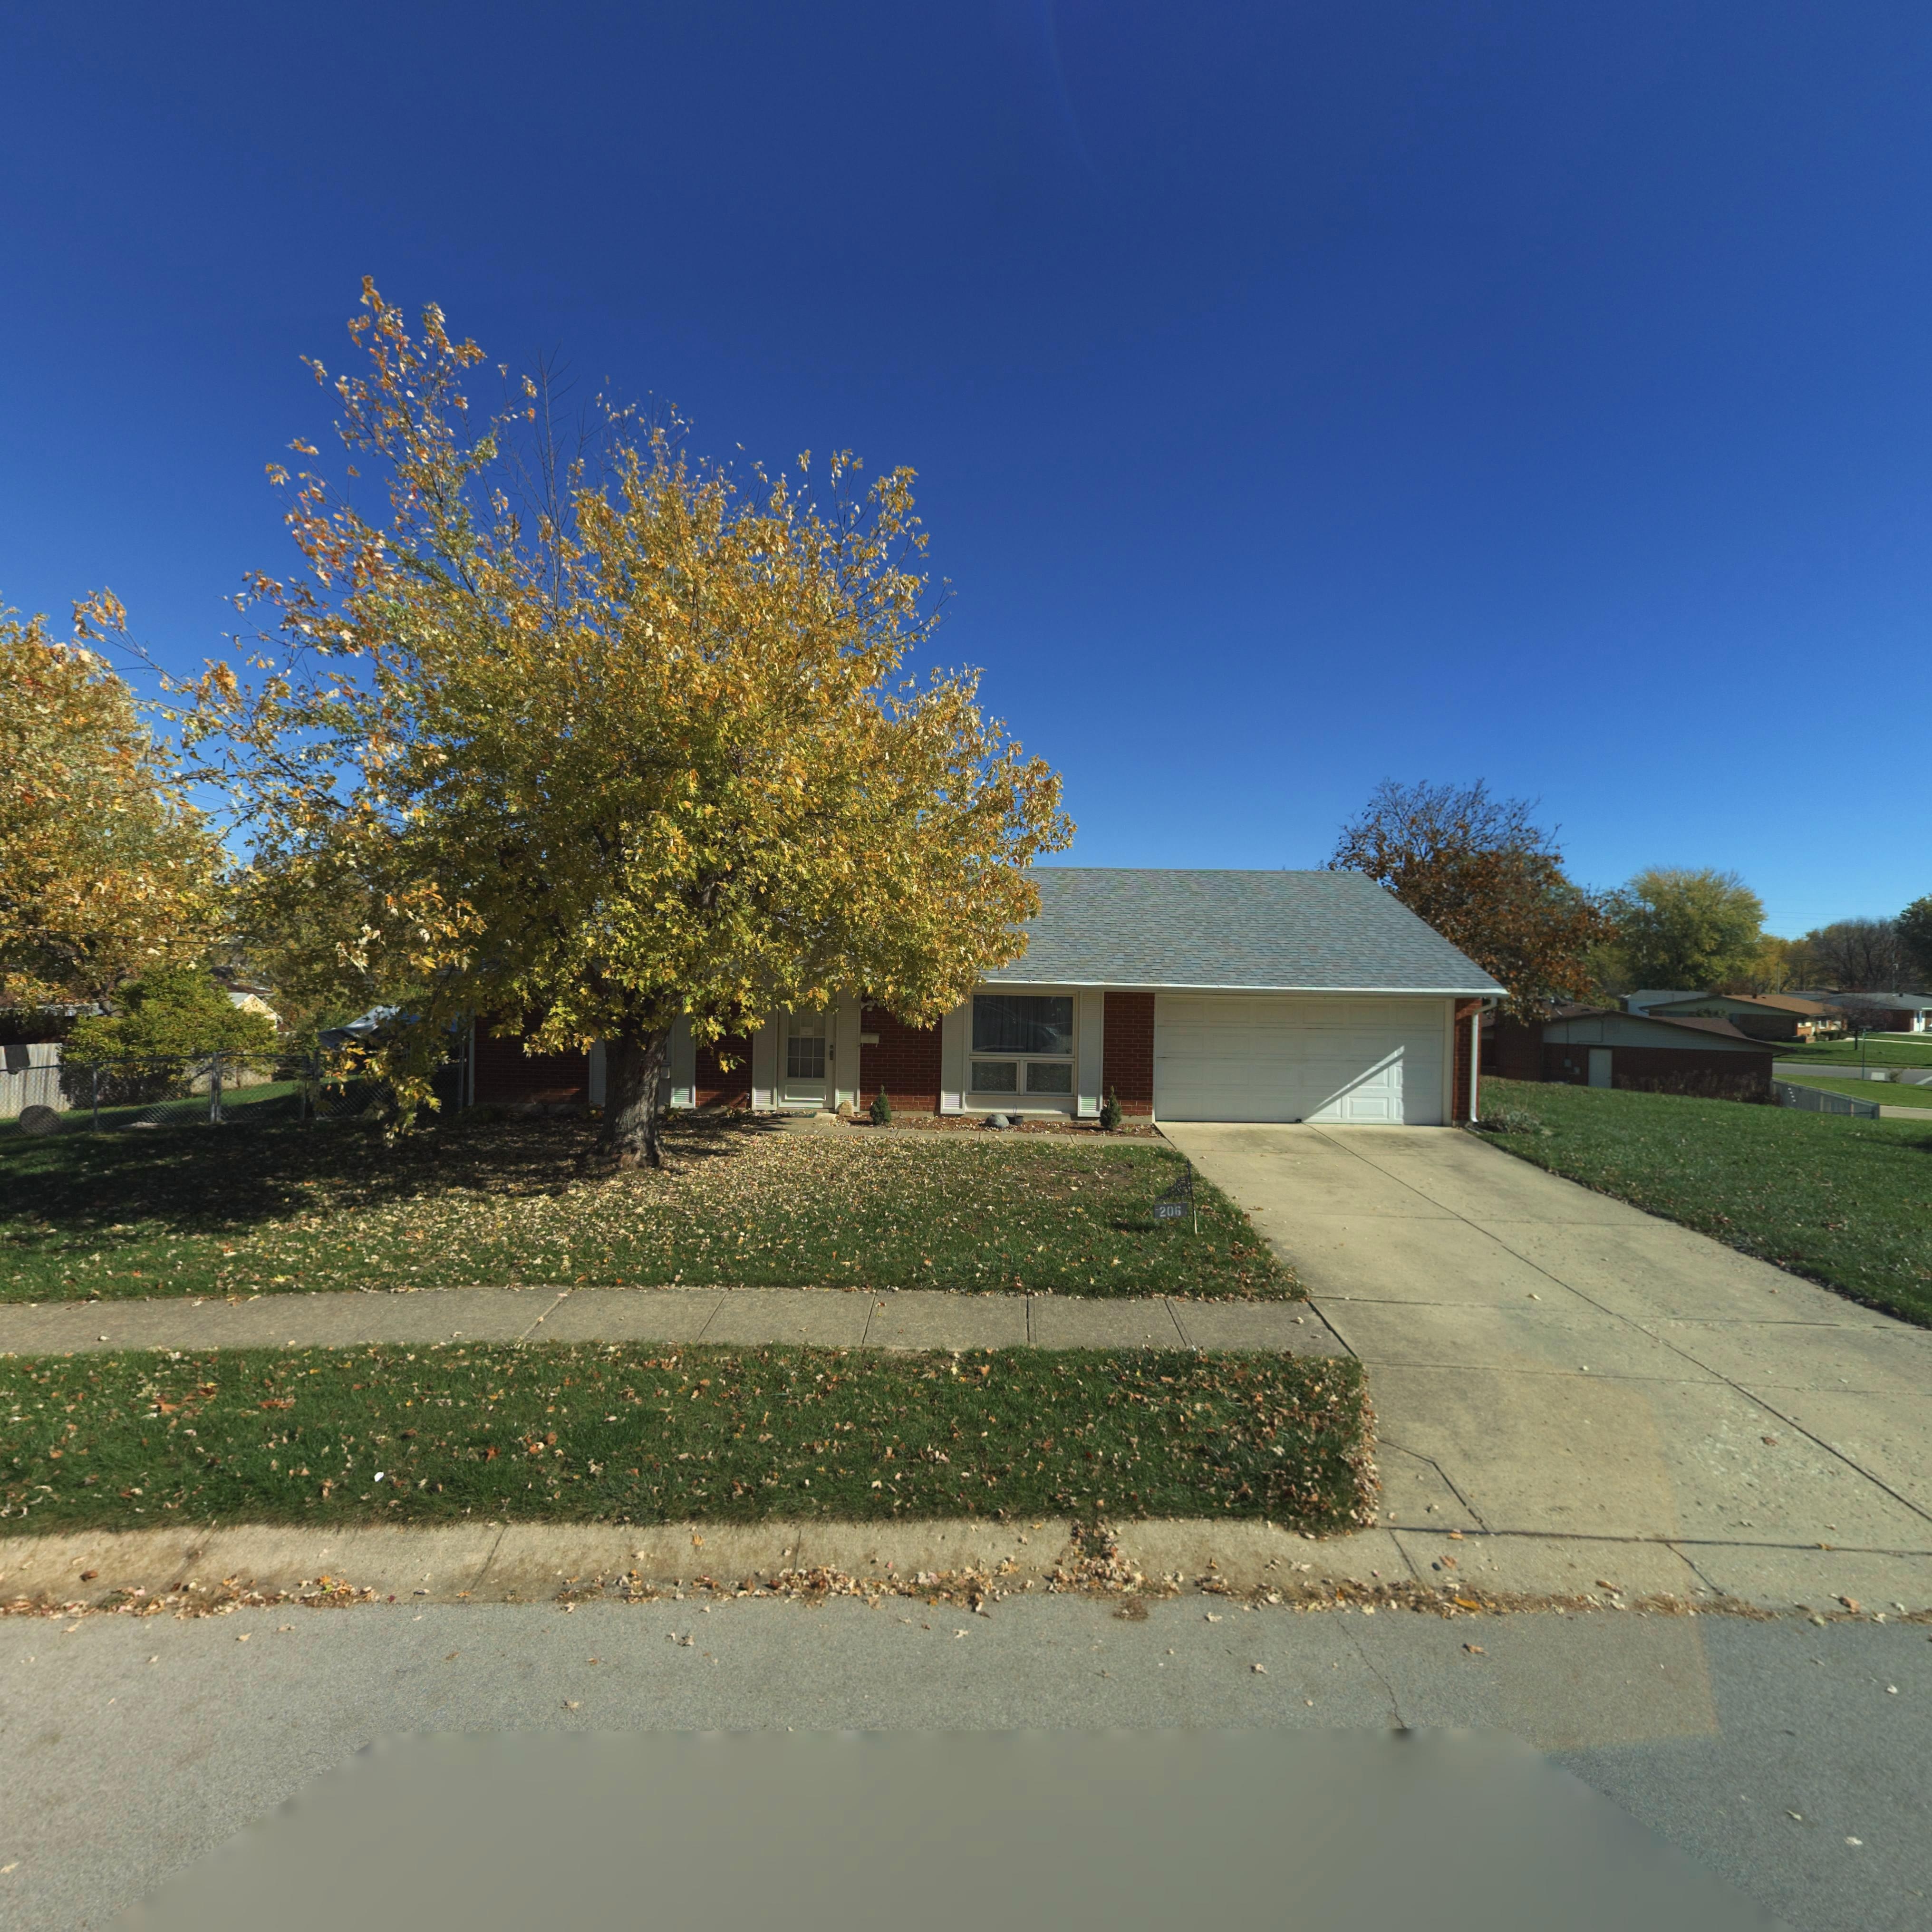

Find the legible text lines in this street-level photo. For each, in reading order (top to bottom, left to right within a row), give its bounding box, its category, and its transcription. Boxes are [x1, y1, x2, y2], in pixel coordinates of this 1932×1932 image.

[1159, 1205, 1183, 1218] StreetNumber: 206